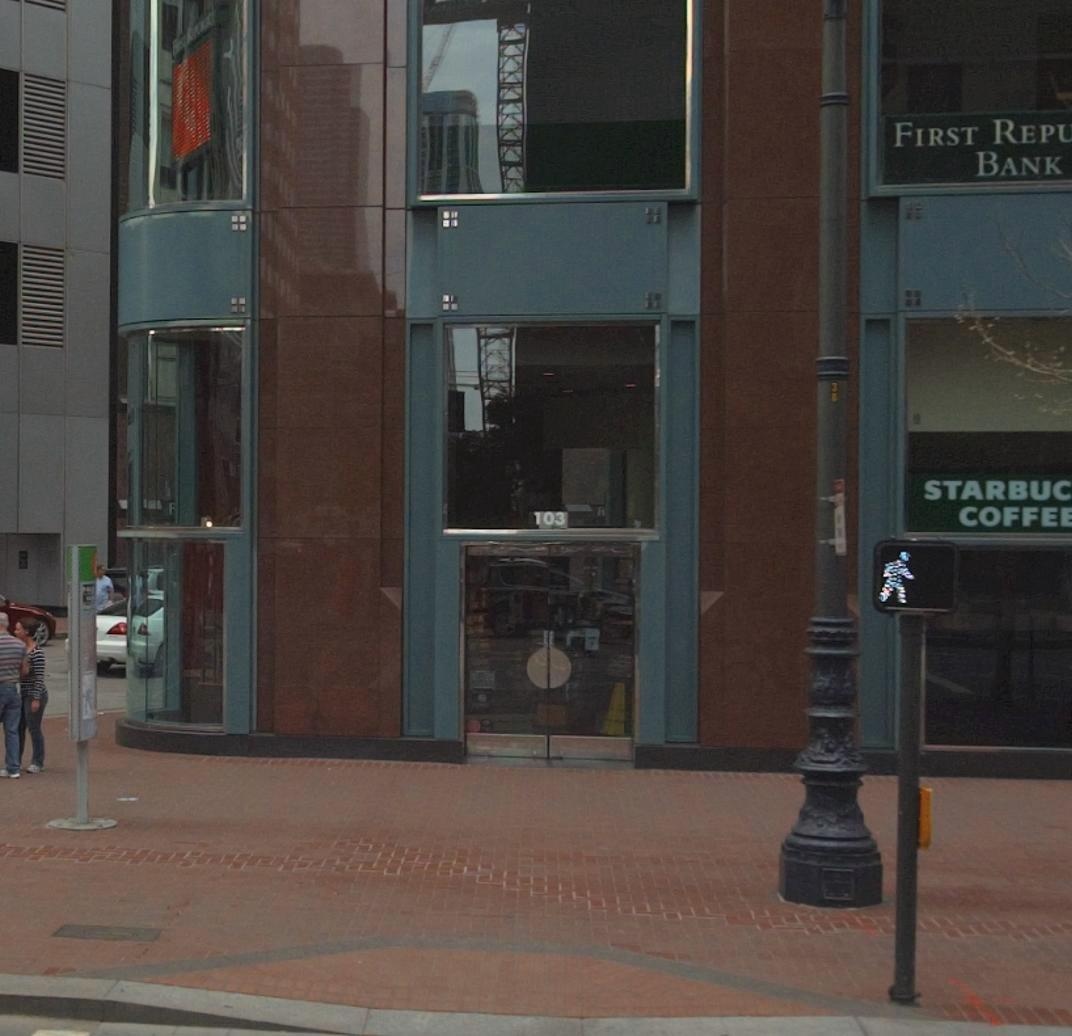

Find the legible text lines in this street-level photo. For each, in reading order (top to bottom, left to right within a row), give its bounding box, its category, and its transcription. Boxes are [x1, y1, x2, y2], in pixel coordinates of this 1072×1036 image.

[891, 116, 1058, 150] BusinessName: FIST REP
[973, 147, 1066, 179] BusinessName: BANK
[921, 477, 1072, 504] BusinessName: STARBUC
[531, 509, 567, 528] StreetNumber: 103
[955, 503, 1061, 530] BusinessName: COFFE